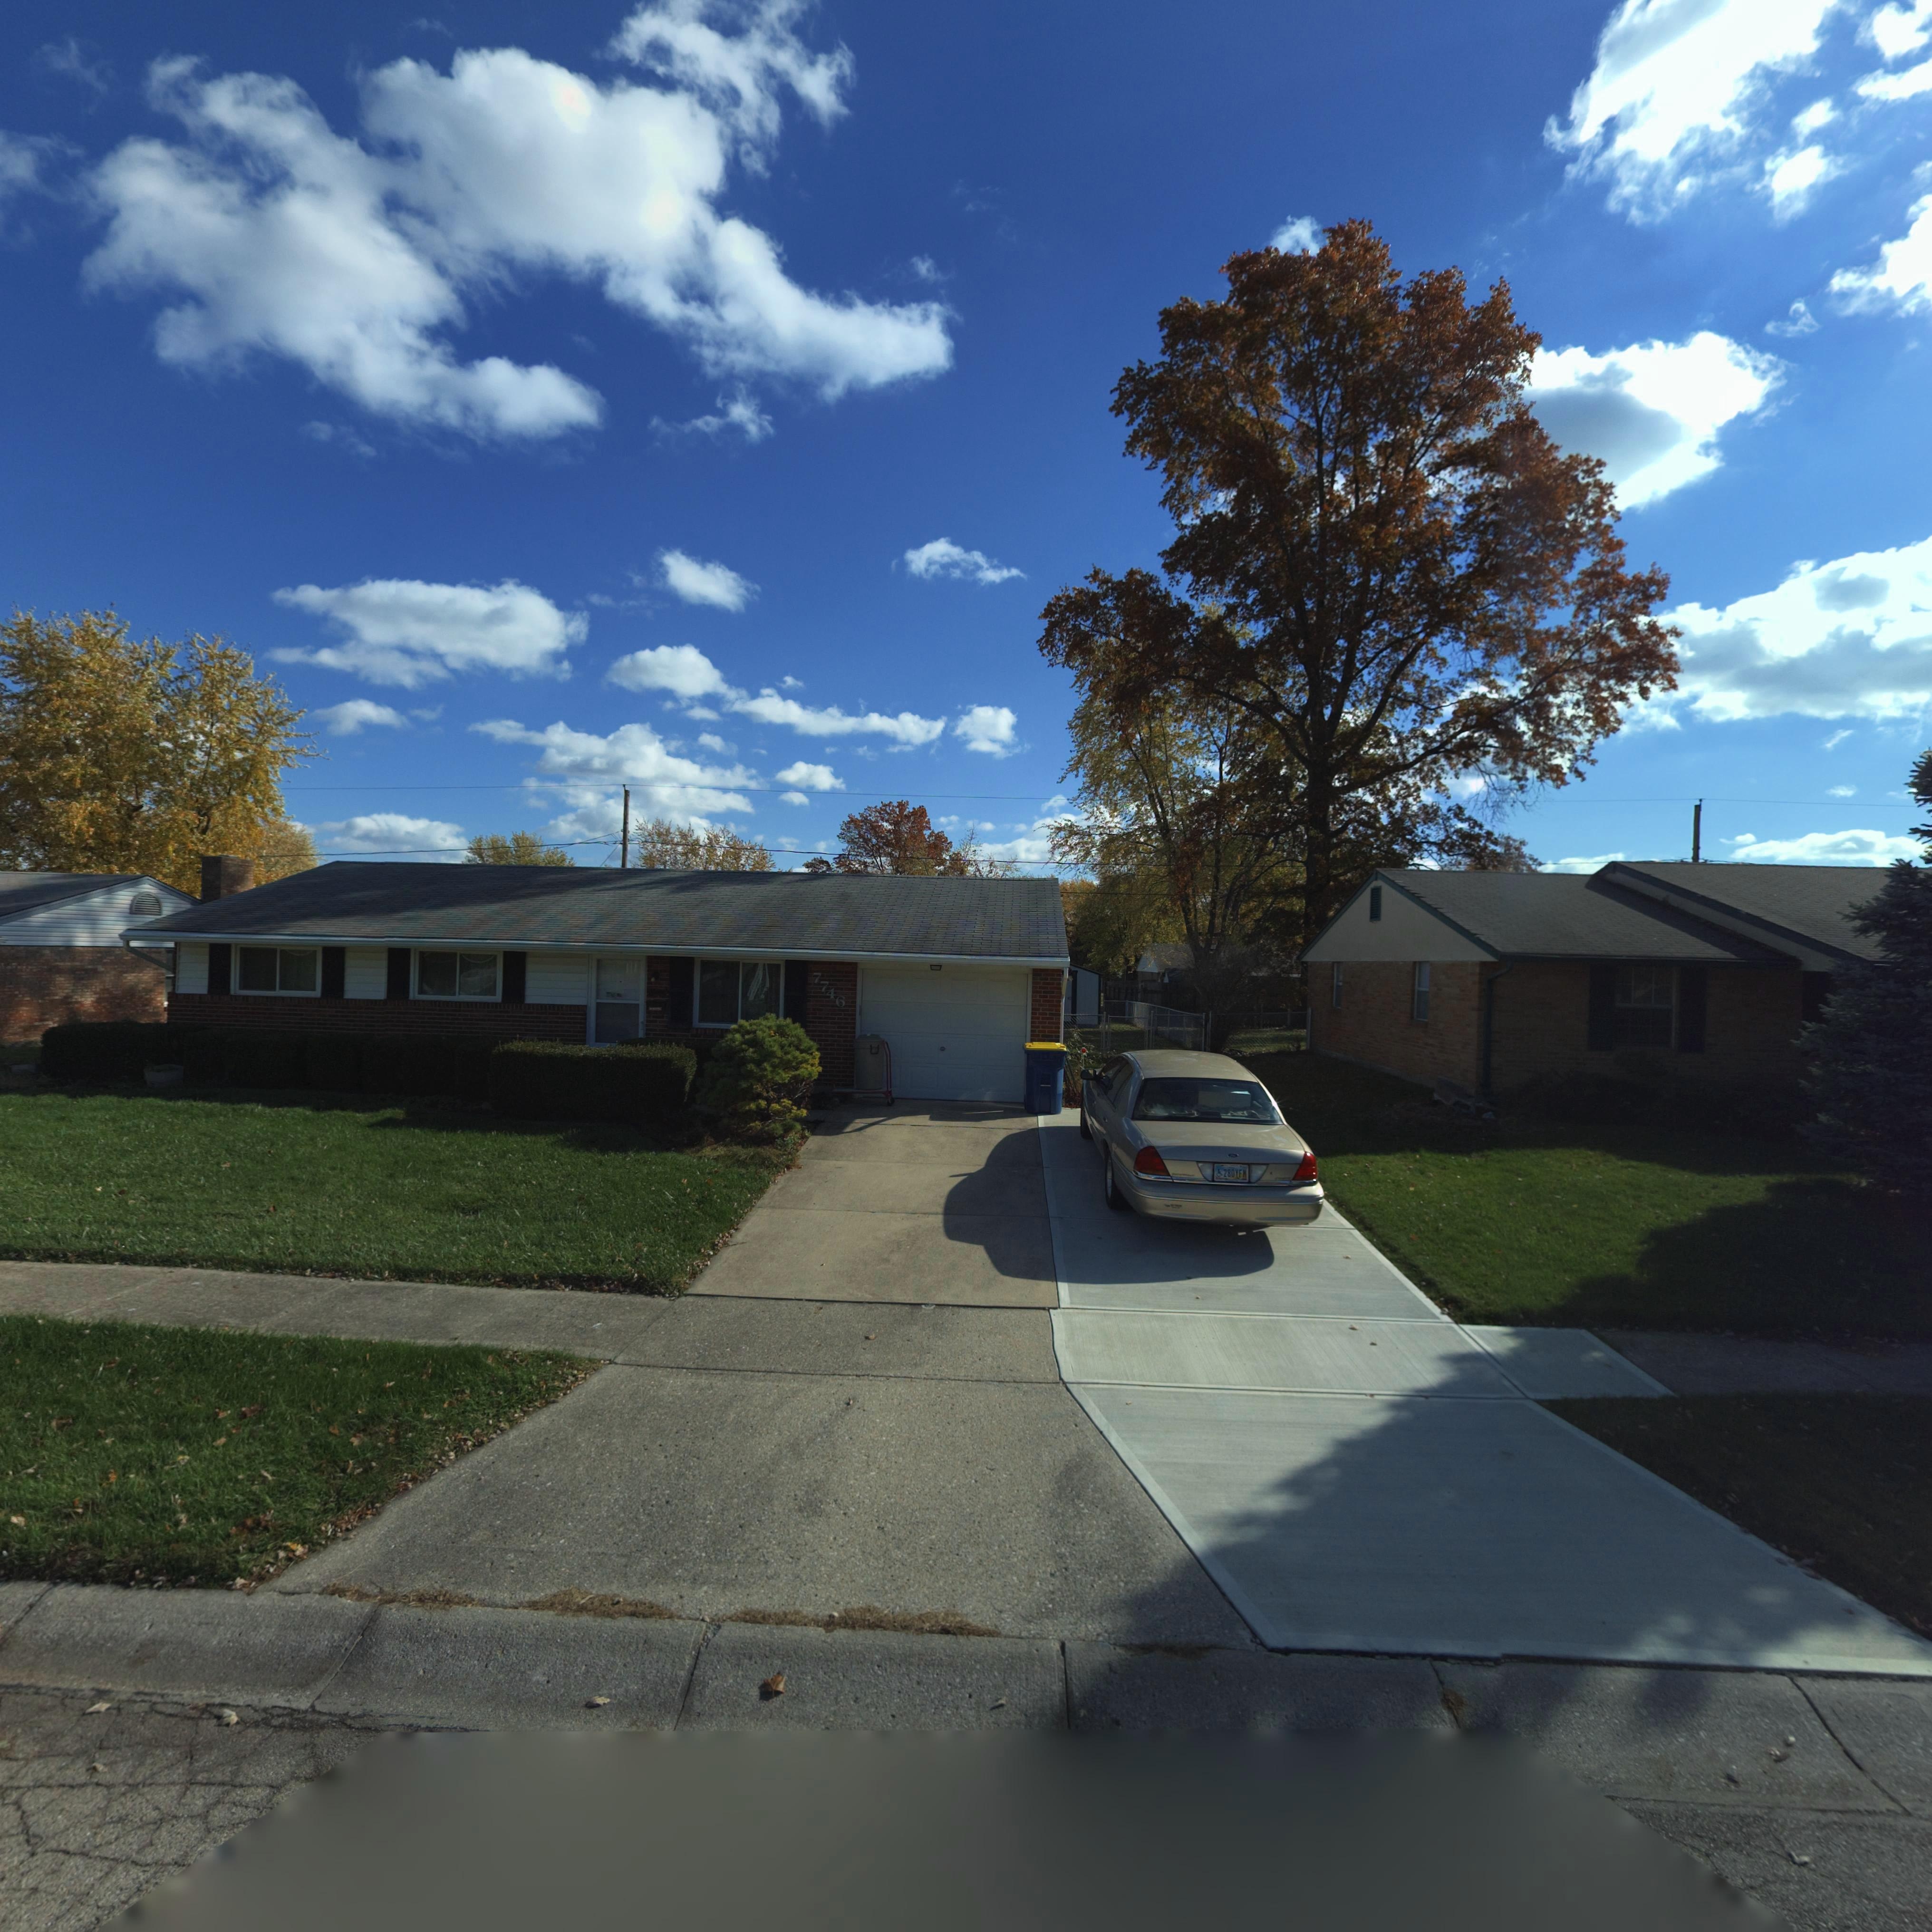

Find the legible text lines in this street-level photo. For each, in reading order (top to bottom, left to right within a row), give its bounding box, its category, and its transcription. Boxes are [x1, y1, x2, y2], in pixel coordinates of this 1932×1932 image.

[812, 971, 847, 1010] StreetNumber: 7746